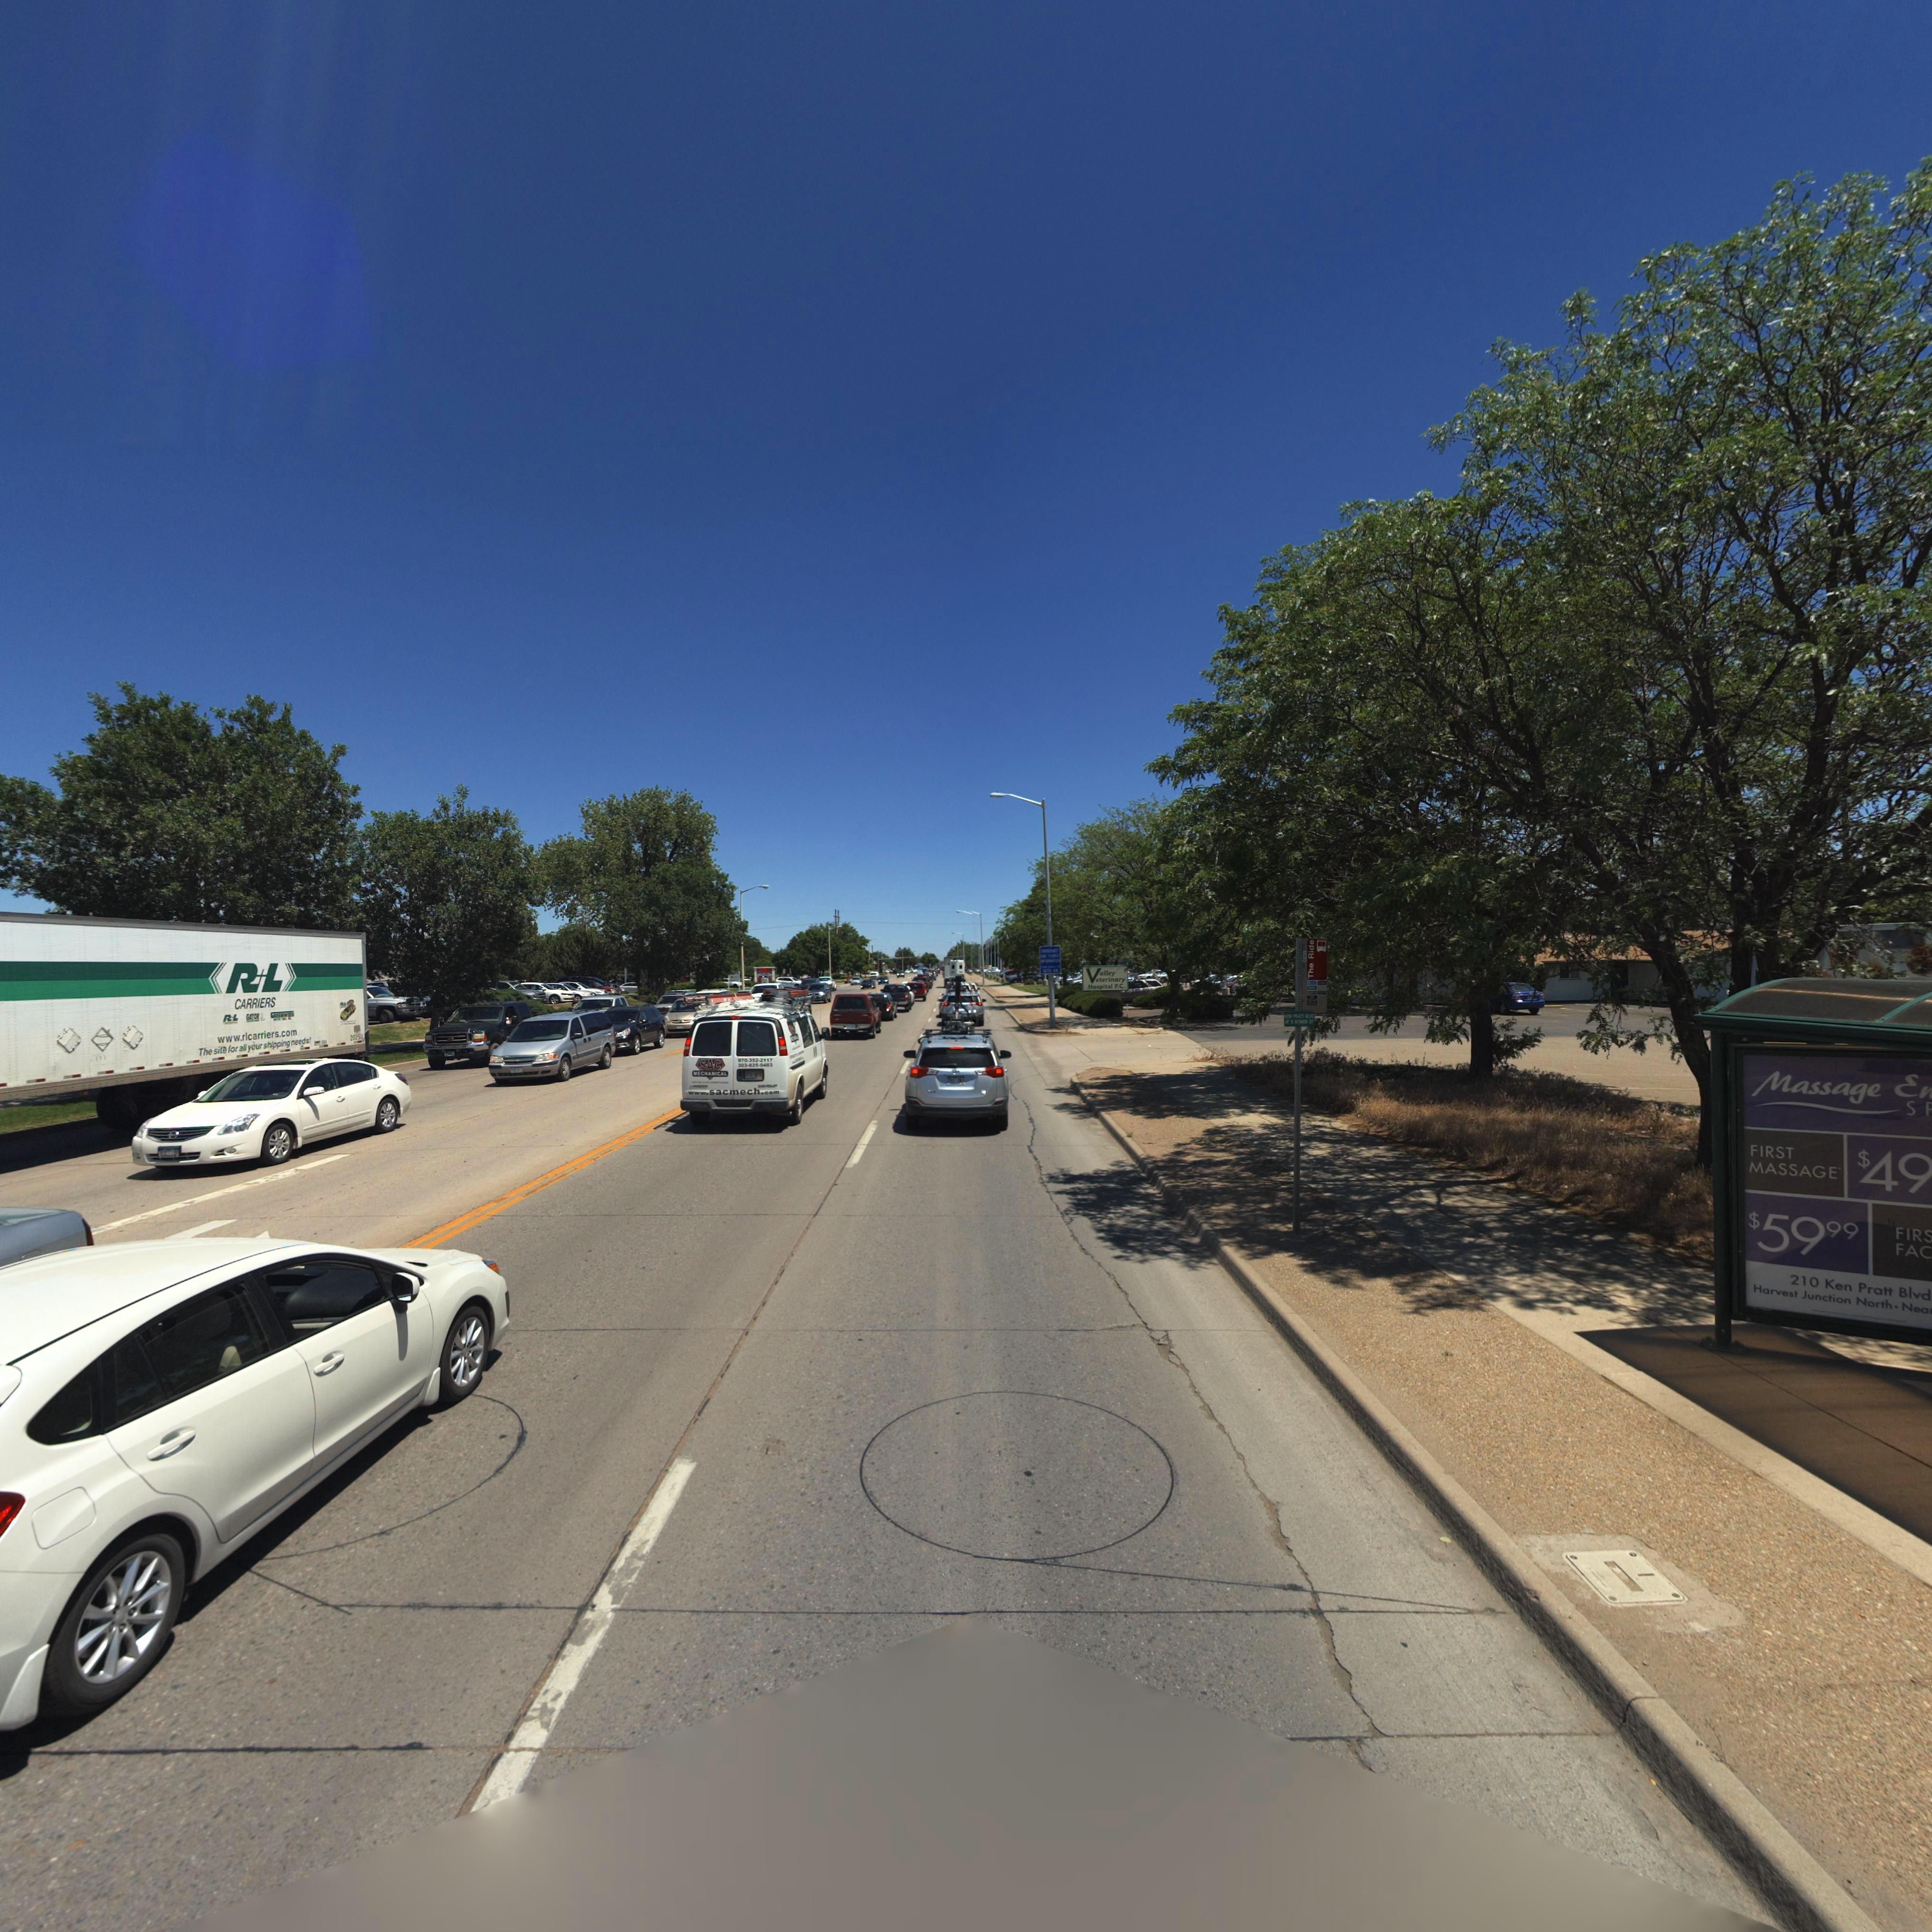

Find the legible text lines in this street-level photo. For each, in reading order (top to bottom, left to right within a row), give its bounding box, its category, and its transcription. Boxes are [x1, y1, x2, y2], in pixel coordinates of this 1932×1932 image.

[1085, 967, 1102, 984] BusinessName: V
[1099, 969, 1116, 977] BusinessName: alley
[1095, 976, 1126, 983] BusinessName: eterinary
[1088, 983, 1123, 990] BusinessName: Hospital P.C